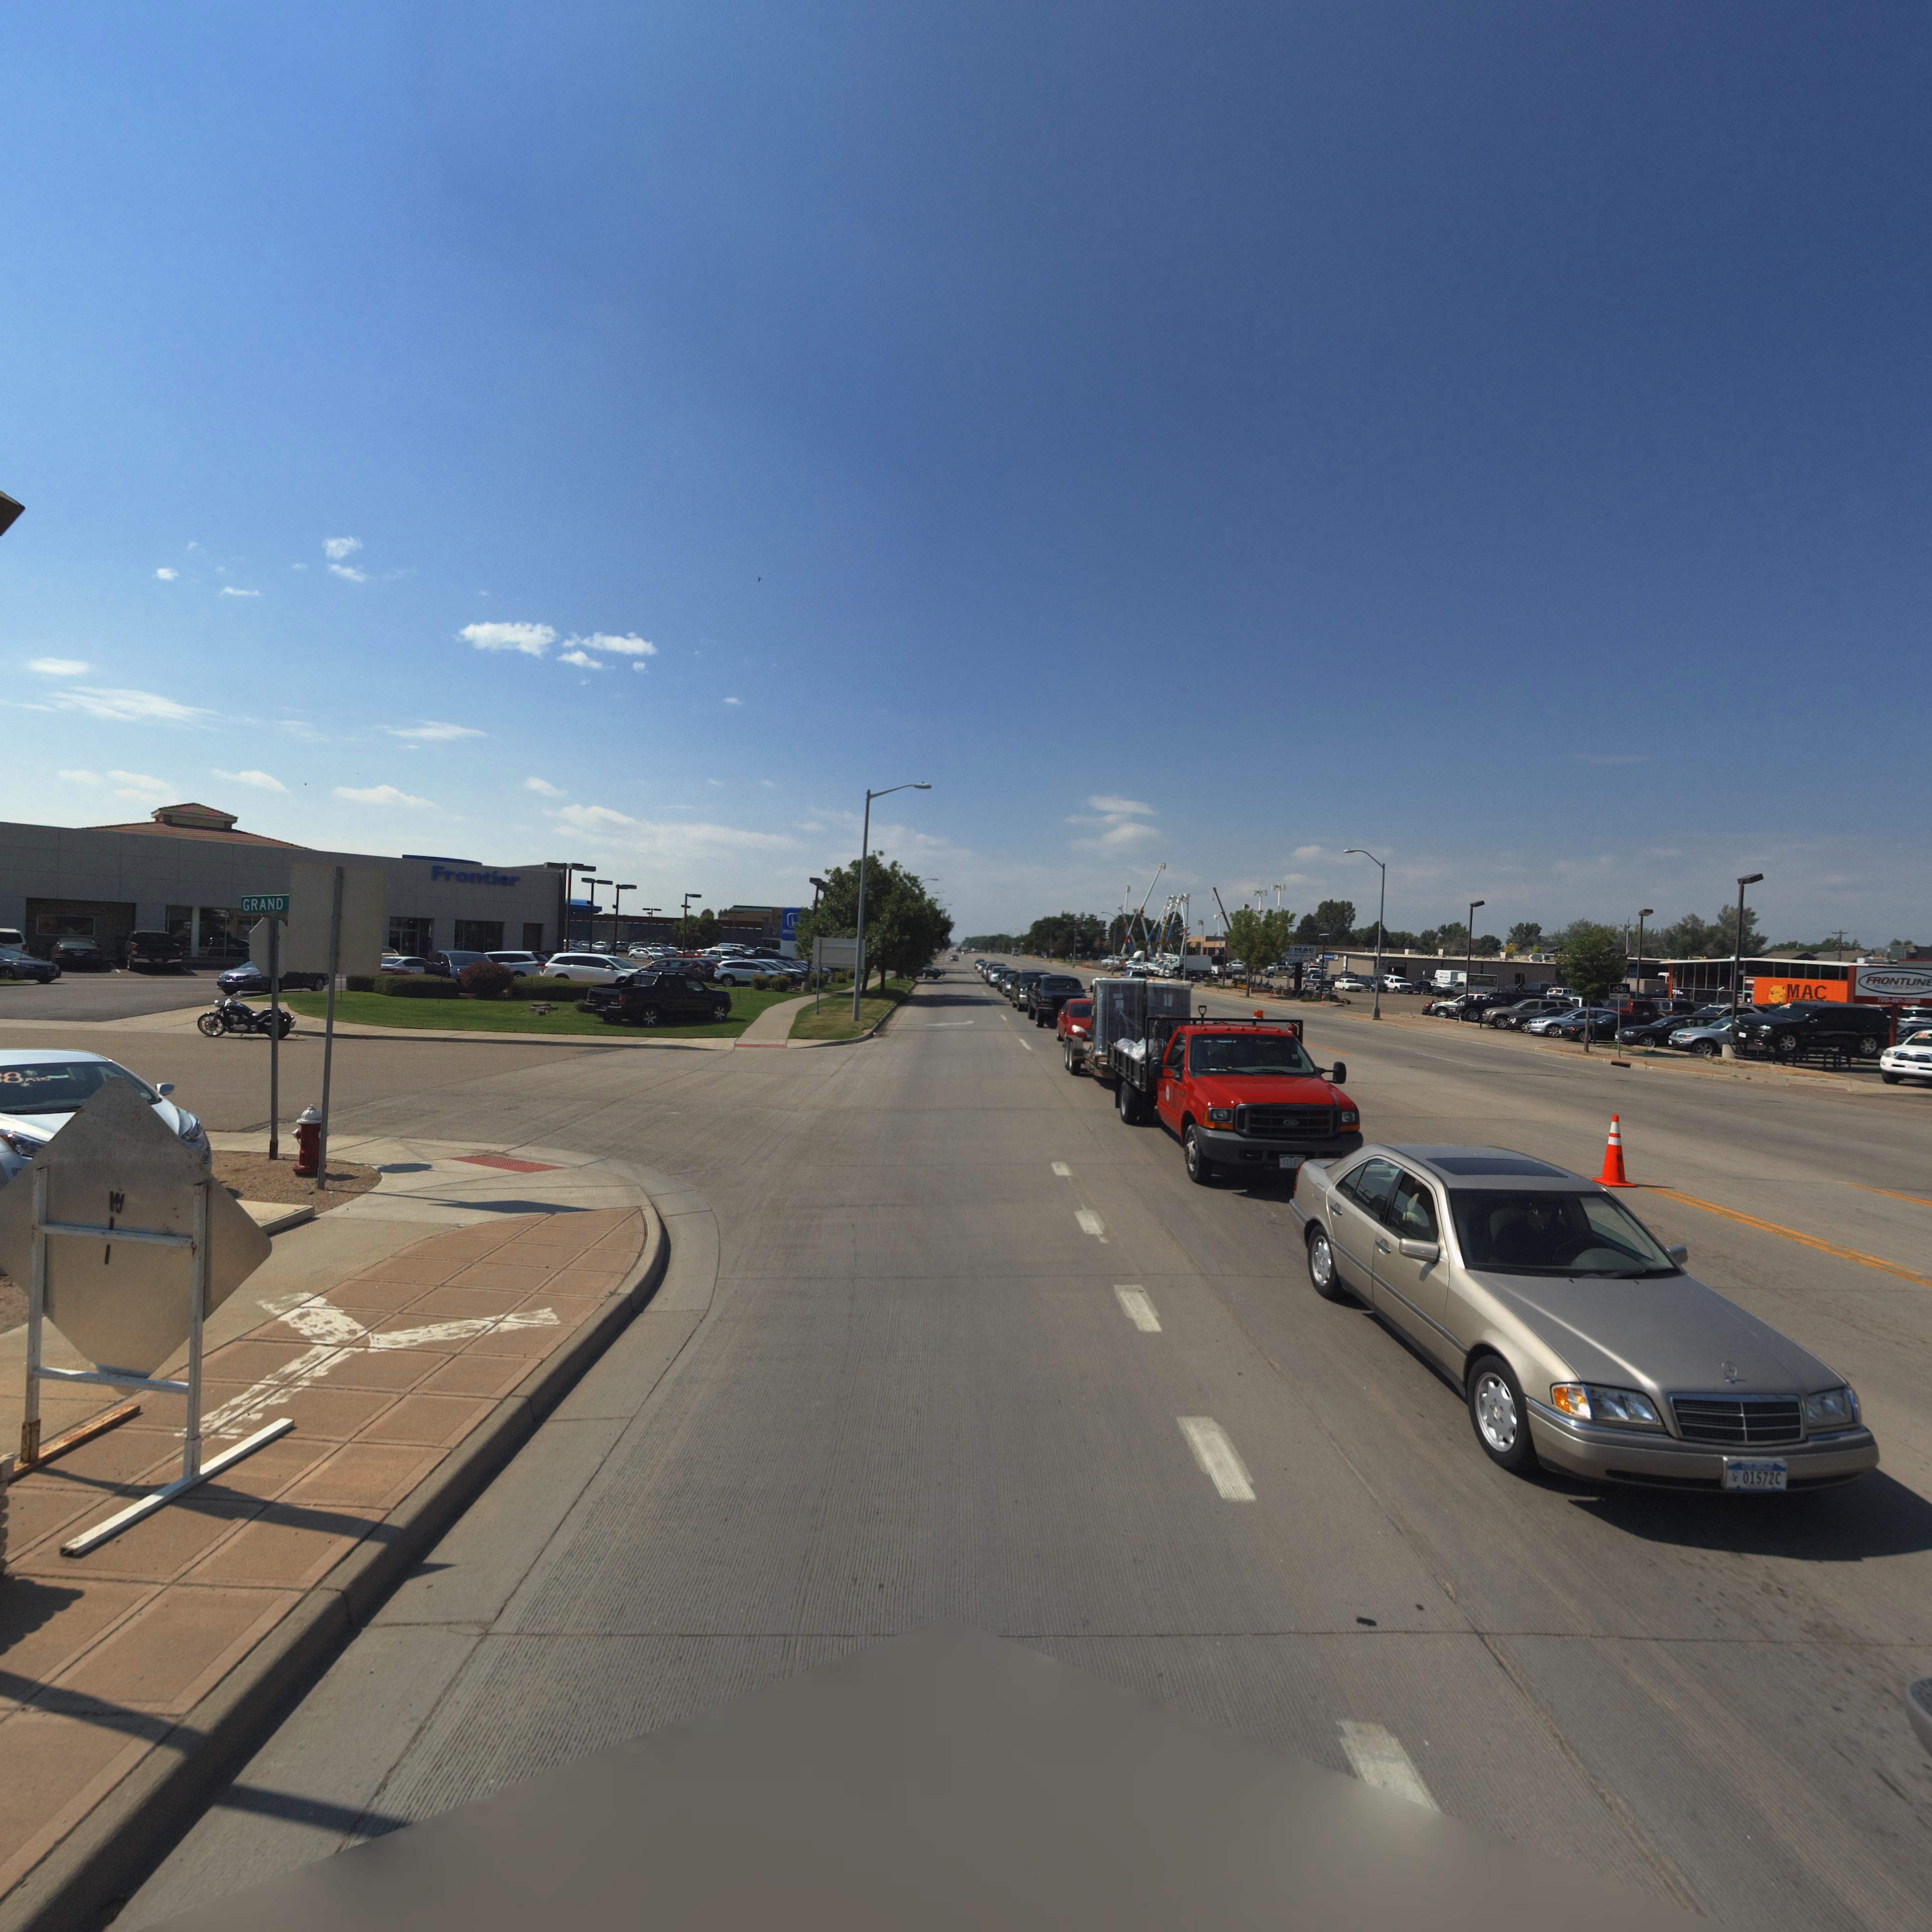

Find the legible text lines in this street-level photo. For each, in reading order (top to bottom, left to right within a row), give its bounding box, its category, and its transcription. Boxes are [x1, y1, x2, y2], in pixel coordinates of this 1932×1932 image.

[431, 865, 520, 886] BusinessName: Frontier
[242, 897, 283, 911] StreetName: GRAND
[782, 929, 793, 934] BusinessName: HO
[1294, 947, 1314, 951] BusinessName: MAC
[1865, 976, 1927, 986] BusinessName: FRONTLIN
[1671, 989, 1680, 994] StreetNumber: 715
[1786, 983, 1827, 1000] BusinessName: MAC